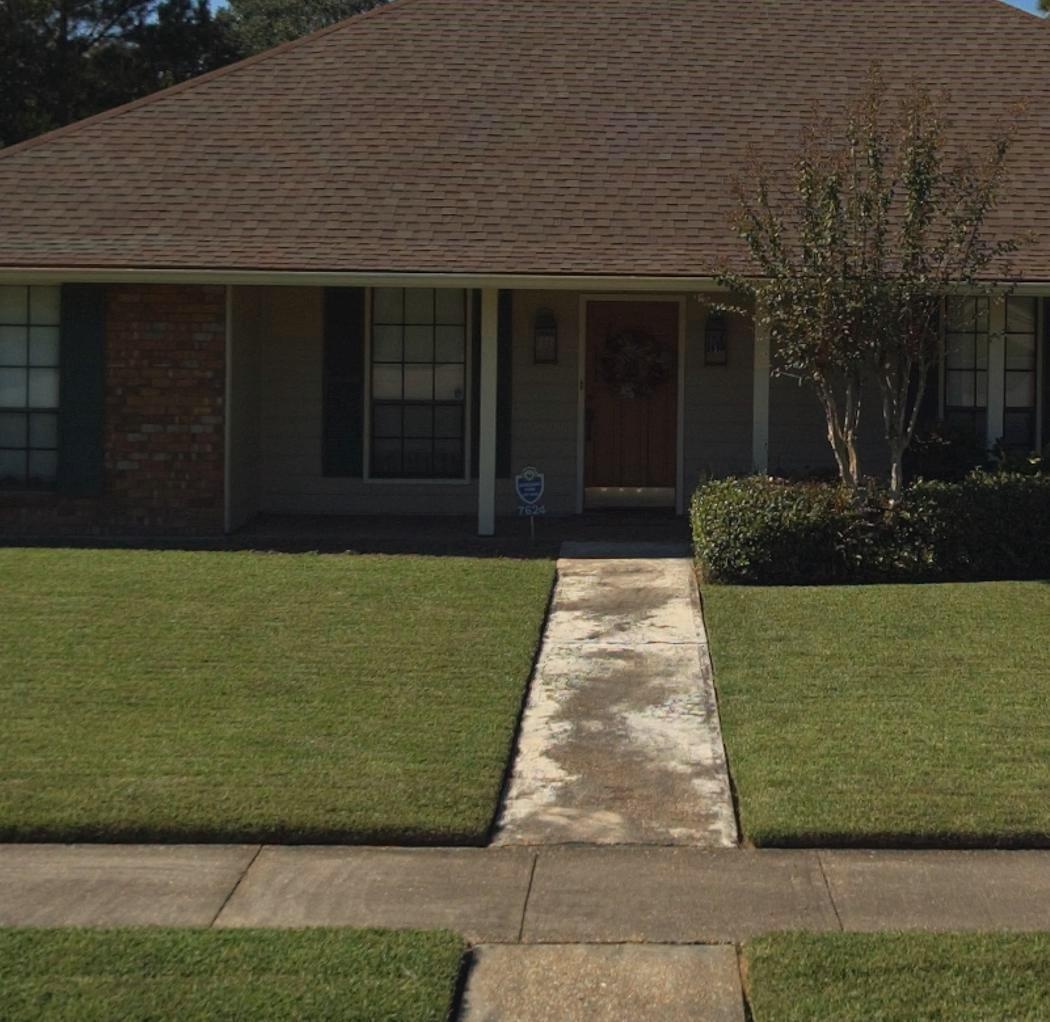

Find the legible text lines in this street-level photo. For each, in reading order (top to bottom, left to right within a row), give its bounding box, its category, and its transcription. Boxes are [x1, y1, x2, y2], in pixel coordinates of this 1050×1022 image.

[518, 504, 547, 516] StreetNumber: 7624